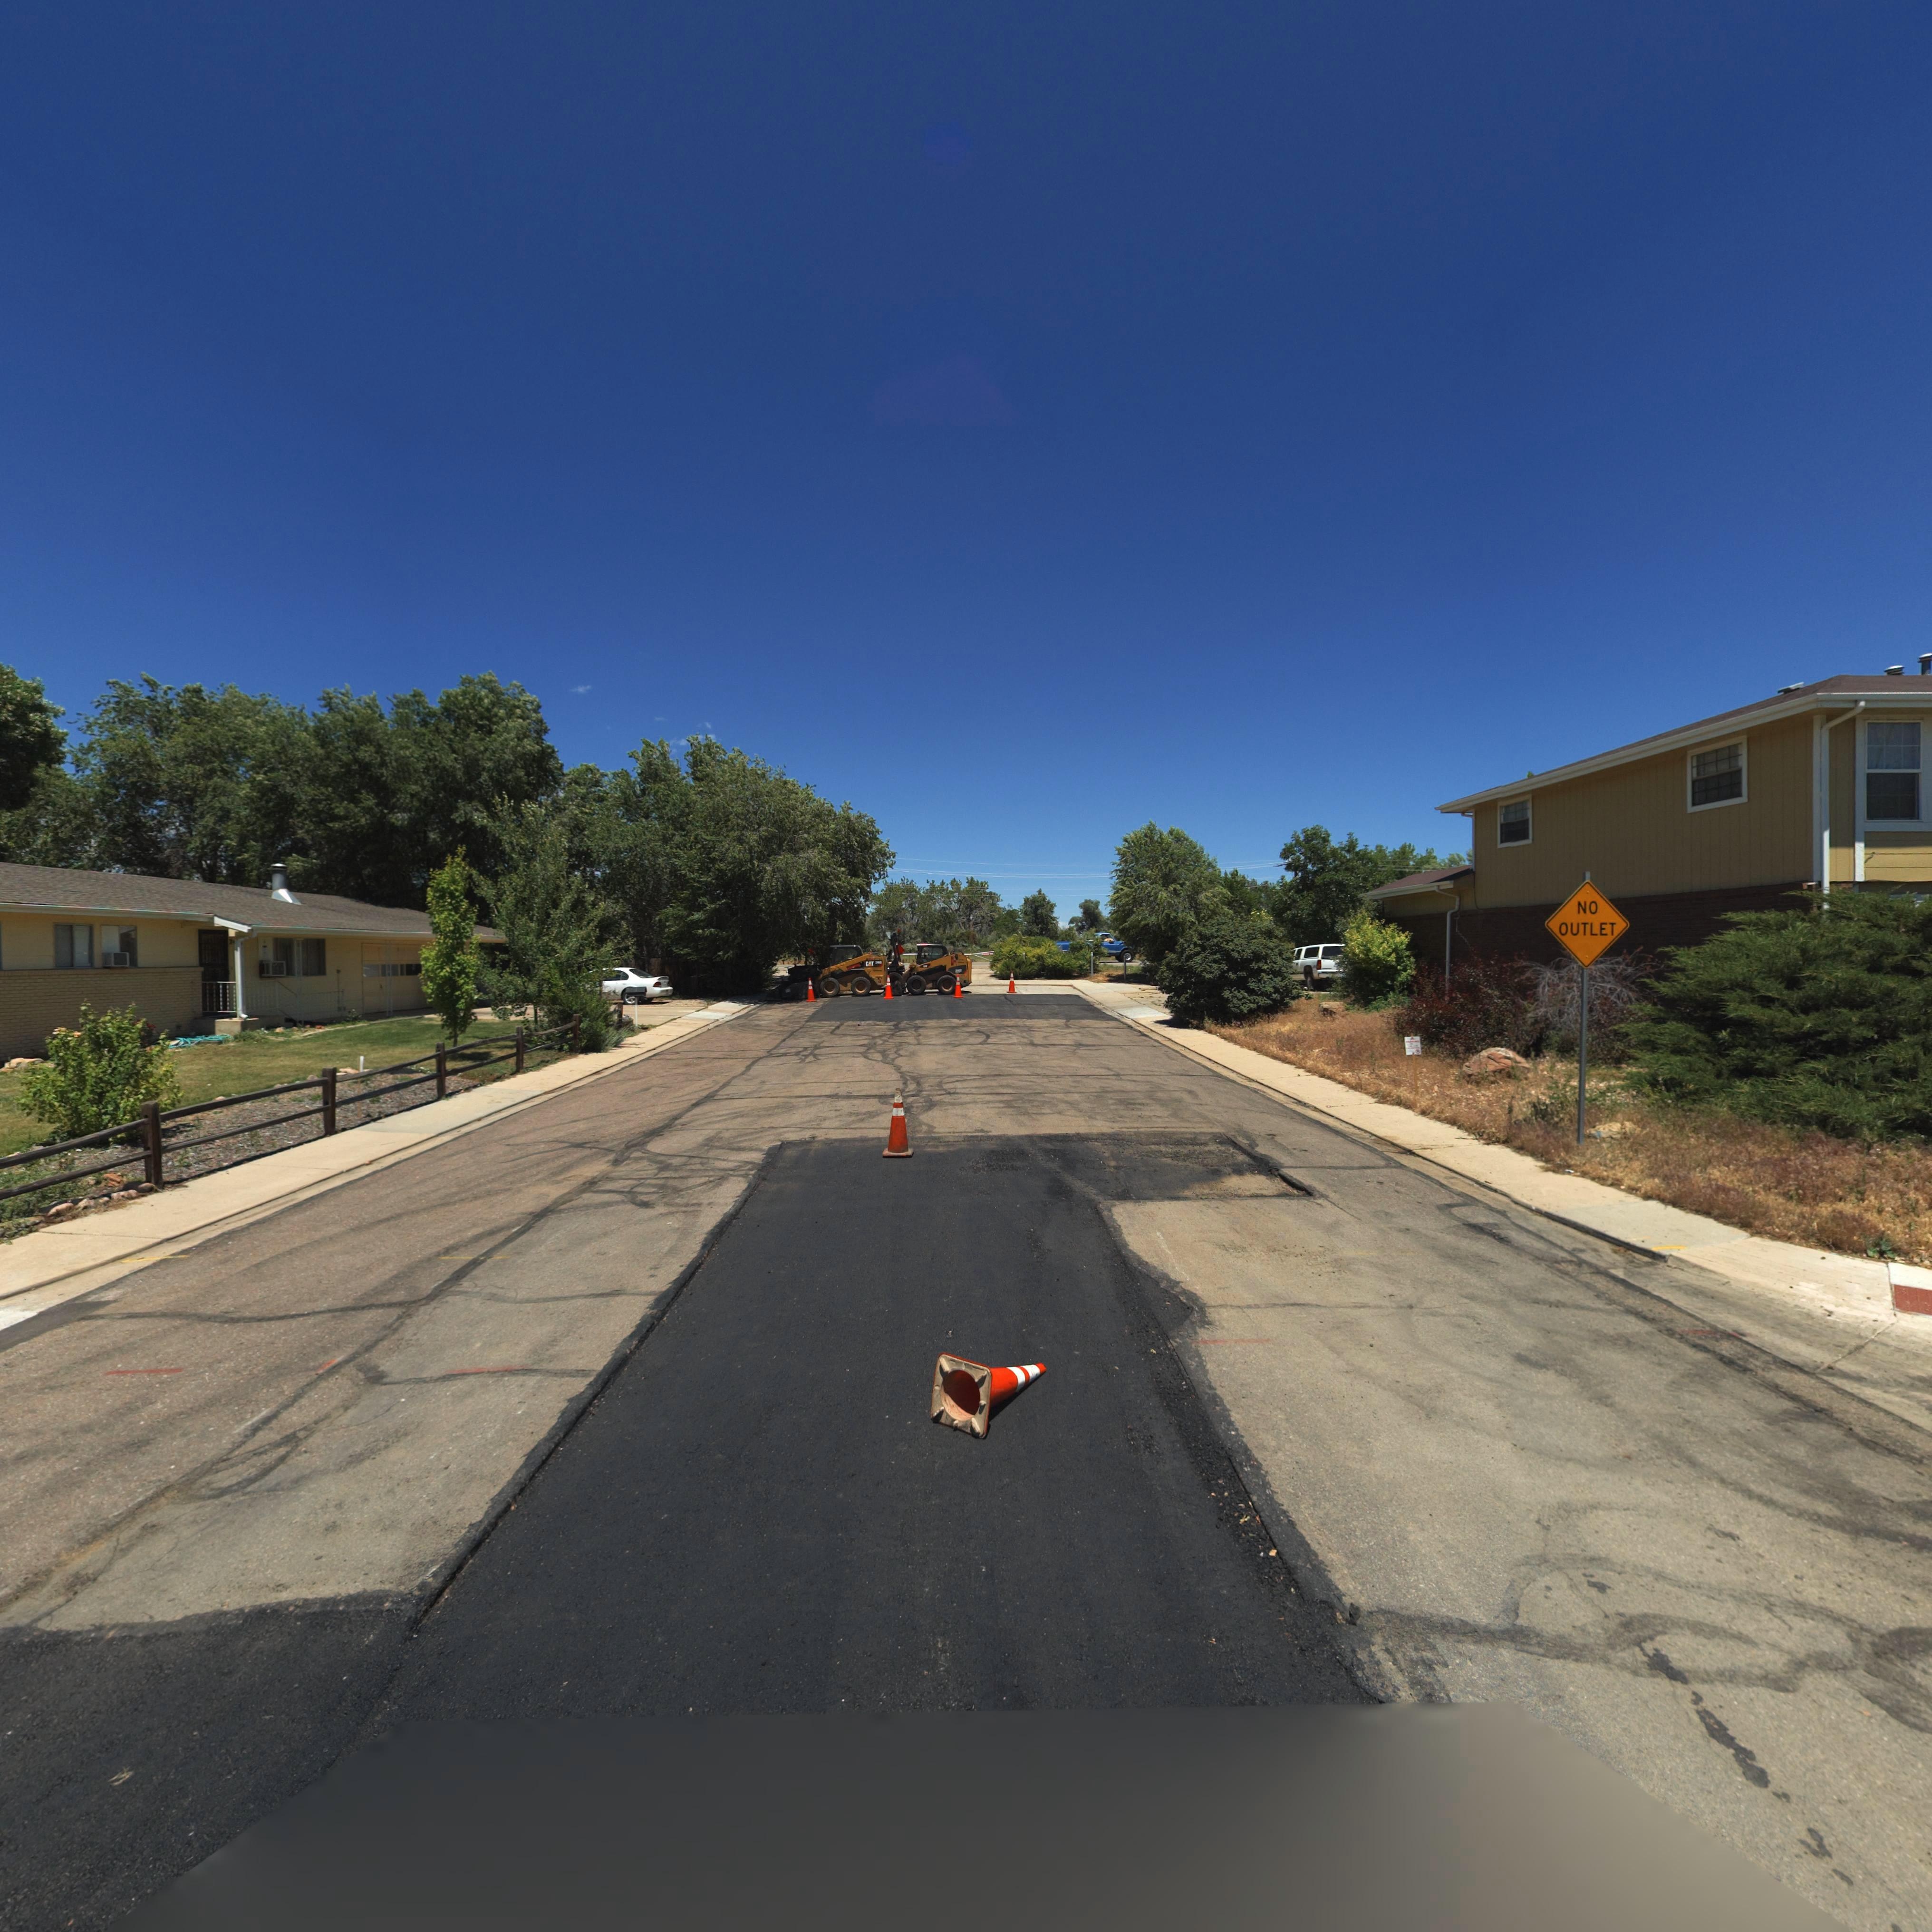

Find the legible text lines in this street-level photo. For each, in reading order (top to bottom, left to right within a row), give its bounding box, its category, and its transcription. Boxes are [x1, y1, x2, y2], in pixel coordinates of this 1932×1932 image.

[1559, 922, 1616, 935] BusinessName: OUTLET